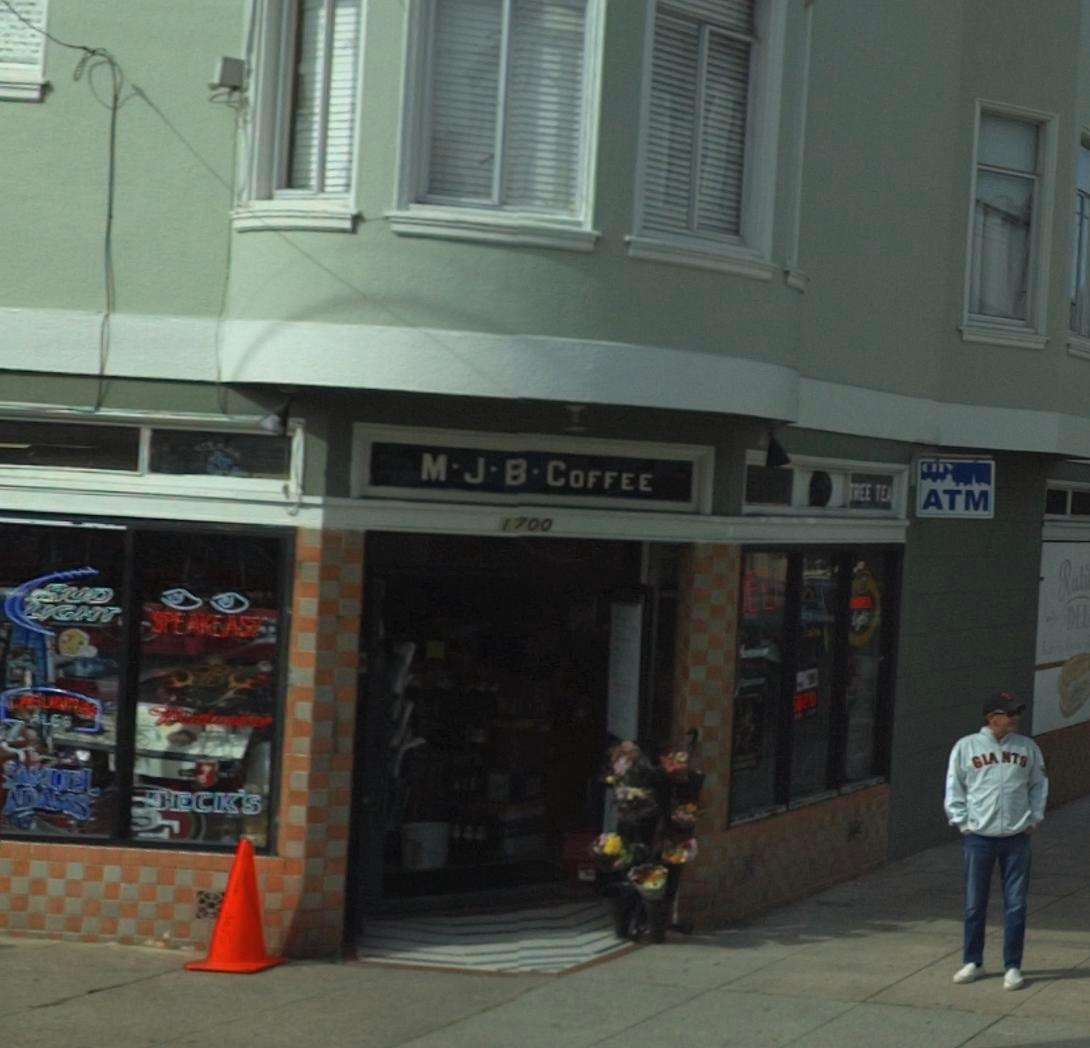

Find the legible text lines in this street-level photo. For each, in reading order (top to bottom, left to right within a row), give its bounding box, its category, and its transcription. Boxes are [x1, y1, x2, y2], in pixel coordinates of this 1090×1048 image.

[418, 450, 657, 496] BusinessName: M*J*B*COFFEE
[863, 480, 895, 505] None: E TE*
[919, 486, 992, 513] None: ATM
[500, 515, 556, 534] StreetNumber: 1700
[1057, 556, 1077, 604] None: R
[62, 584, 116, 605] None: UD
[50, 603, 122, 623] None: GHT
[160, 608, 189, 638] None: PE
[1063, 600, 1089, 635] None: DEL
[966, 747, 1030, 771] None: GIA NTS
[191, 786, 264, 816] None: CK'S